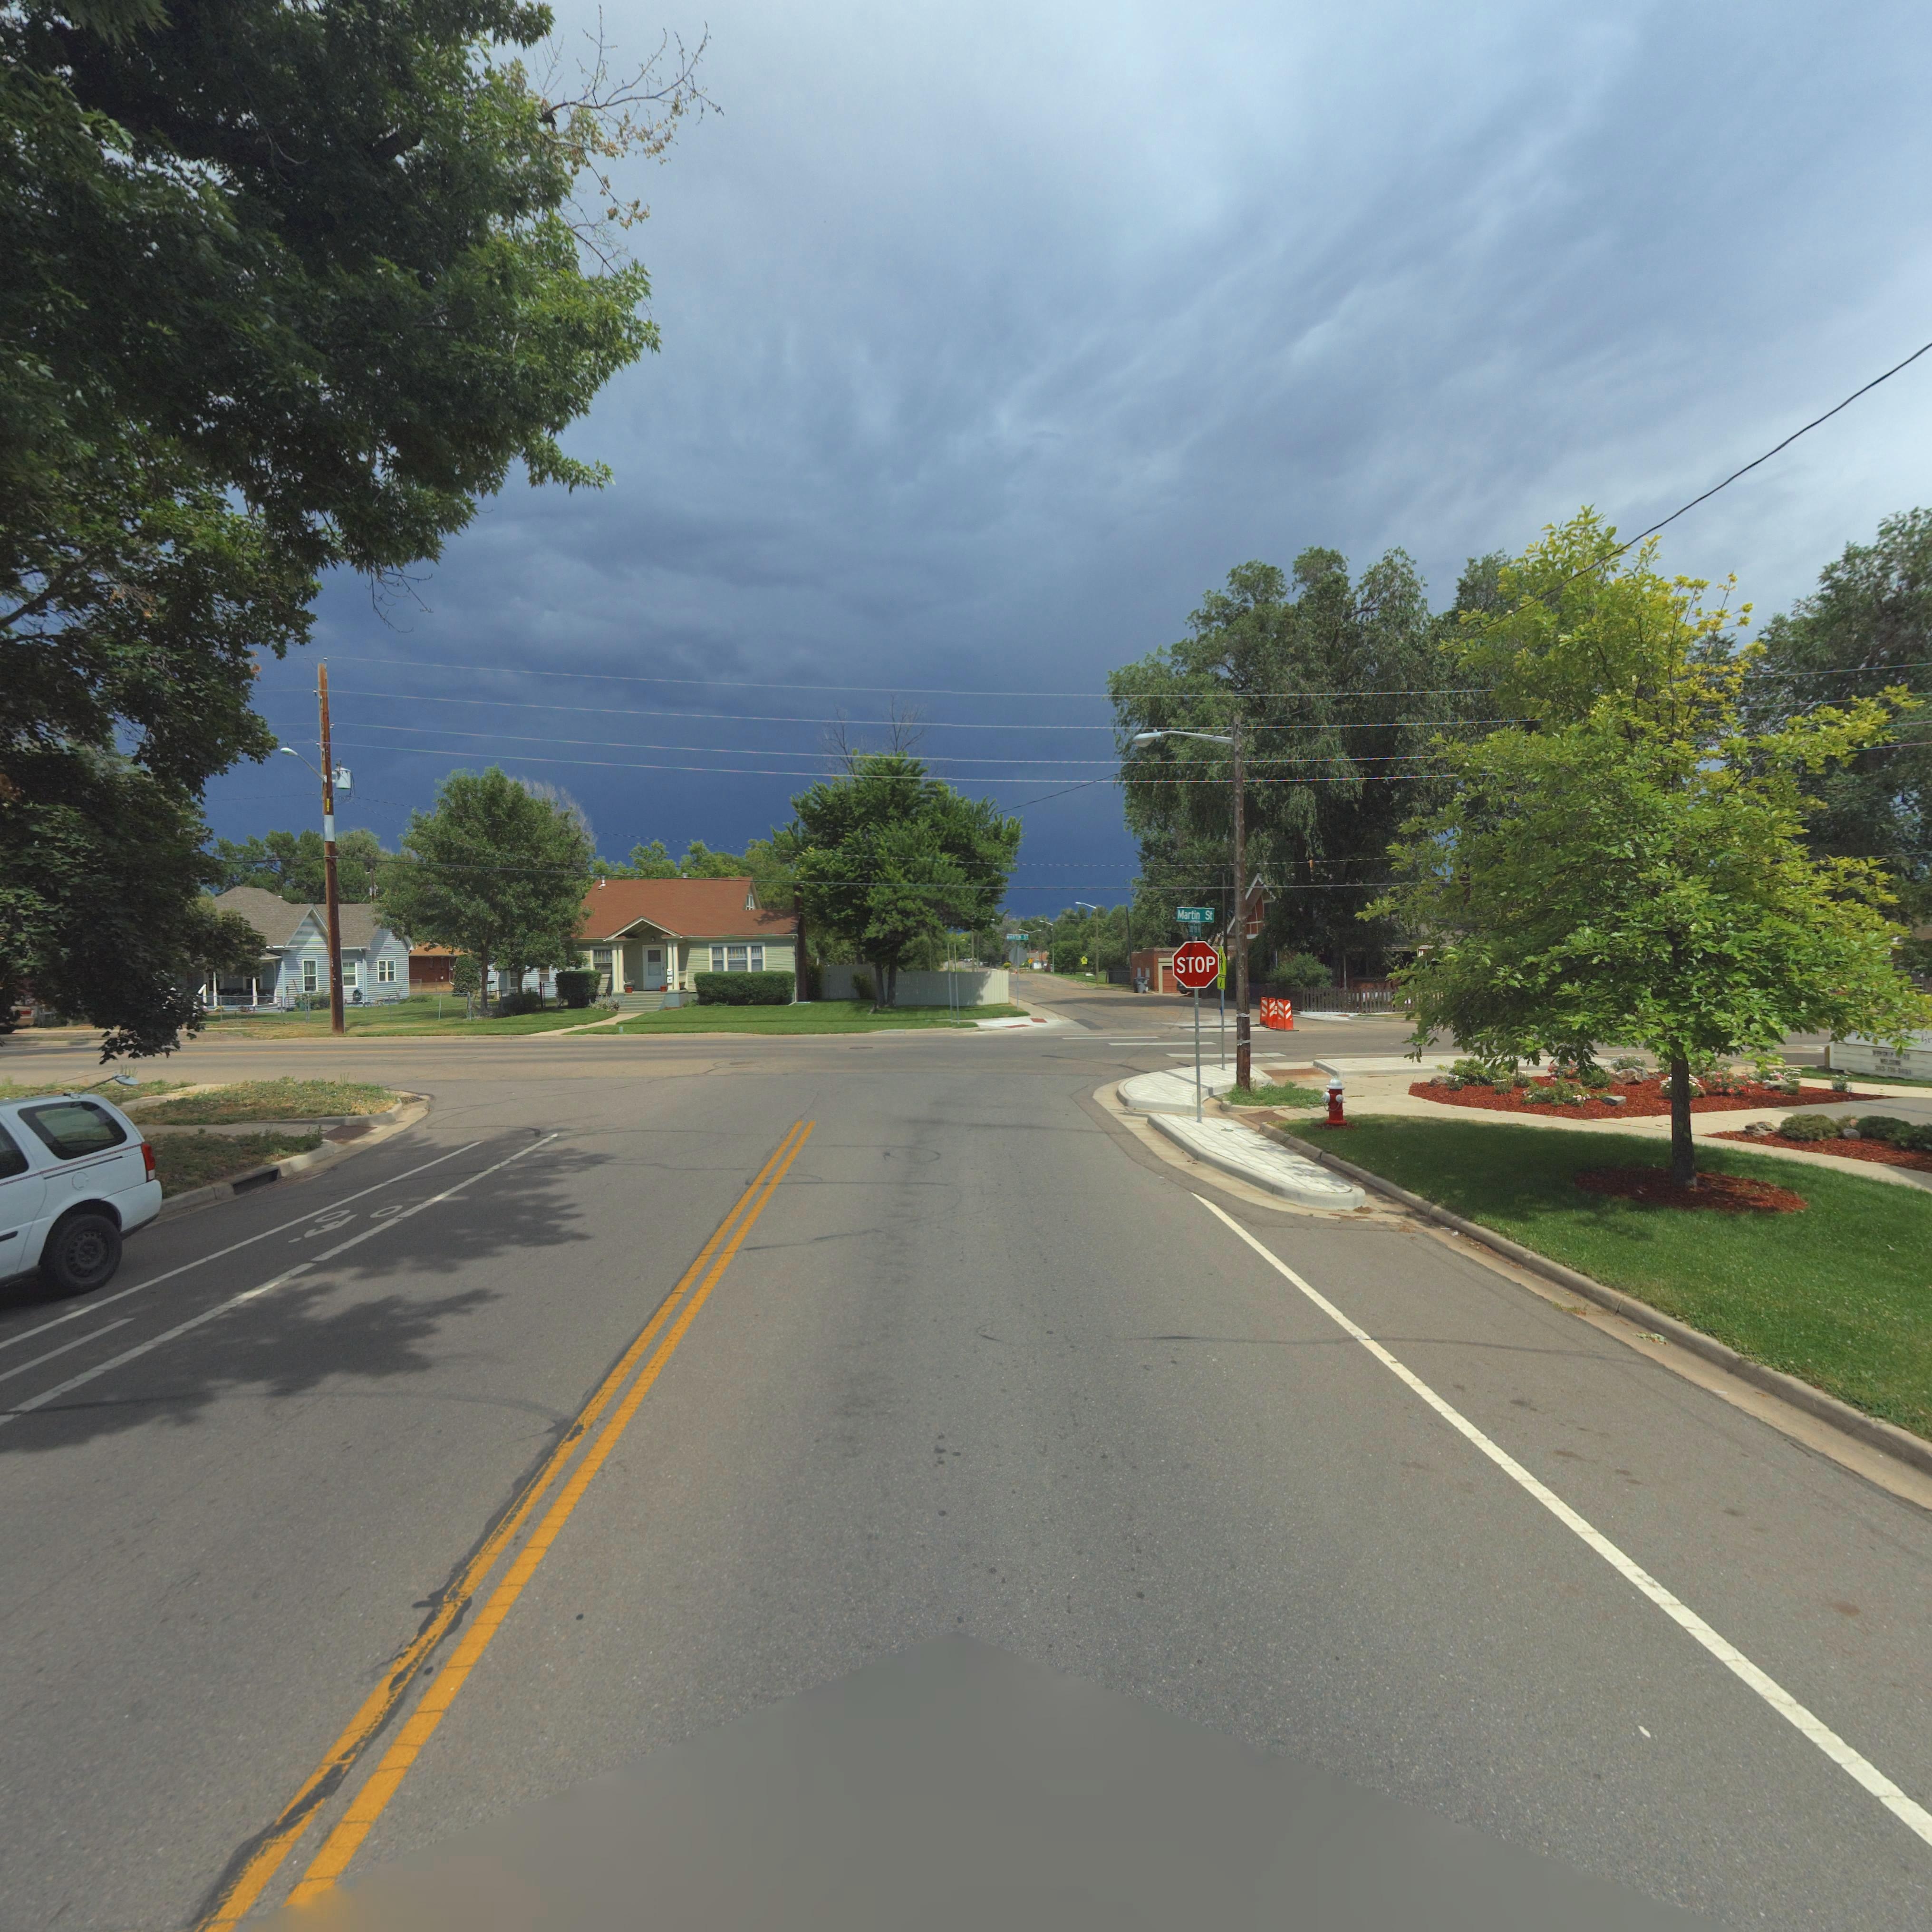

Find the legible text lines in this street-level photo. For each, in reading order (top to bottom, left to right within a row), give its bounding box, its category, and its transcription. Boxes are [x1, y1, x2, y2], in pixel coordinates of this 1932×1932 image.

[1178, 909, 1213, 920] StreetName: Martin St